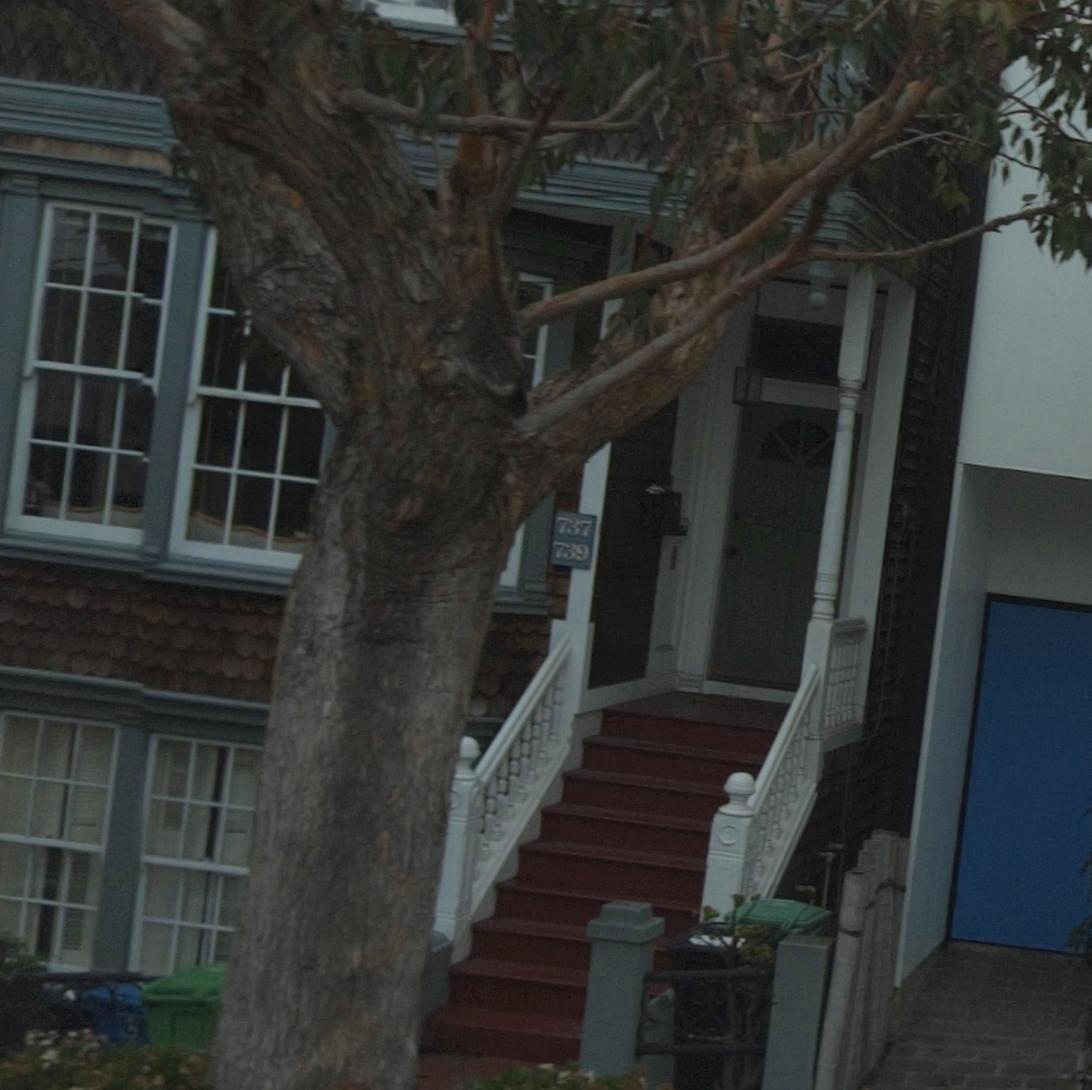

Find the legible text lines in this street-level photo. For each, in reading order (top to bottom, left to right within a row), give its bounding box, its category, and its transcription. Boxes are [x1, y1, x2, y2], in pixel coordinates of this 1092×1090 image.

[555, 515, 594, 537] StreetNumber: 737
[552, 540, 591, 562] StreetNumber: 739